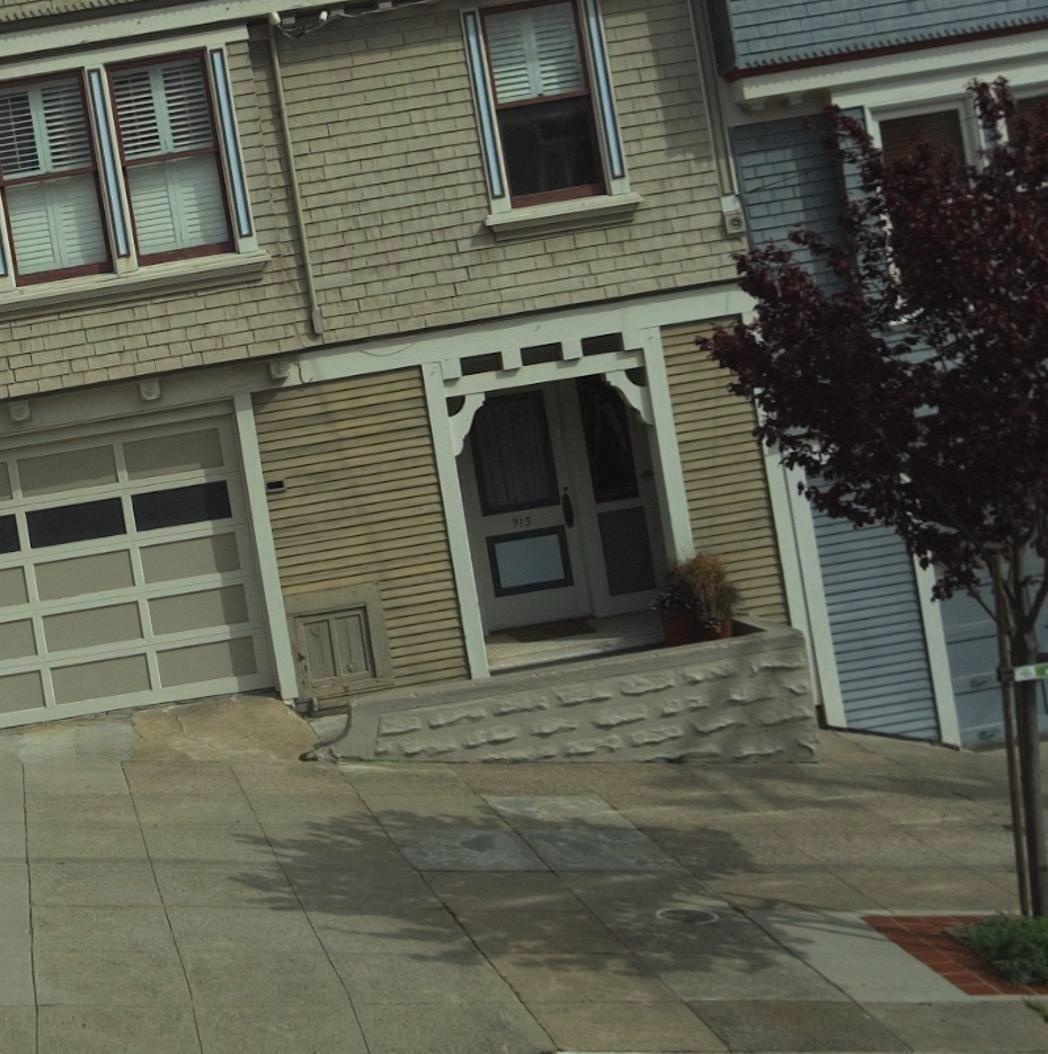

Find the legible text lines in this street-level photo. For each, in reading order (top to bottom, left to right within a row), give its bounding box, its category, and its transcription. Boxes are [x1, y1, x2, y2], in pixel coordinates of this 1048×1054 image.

[511, 515, 532, 529] StreetNumber: 913